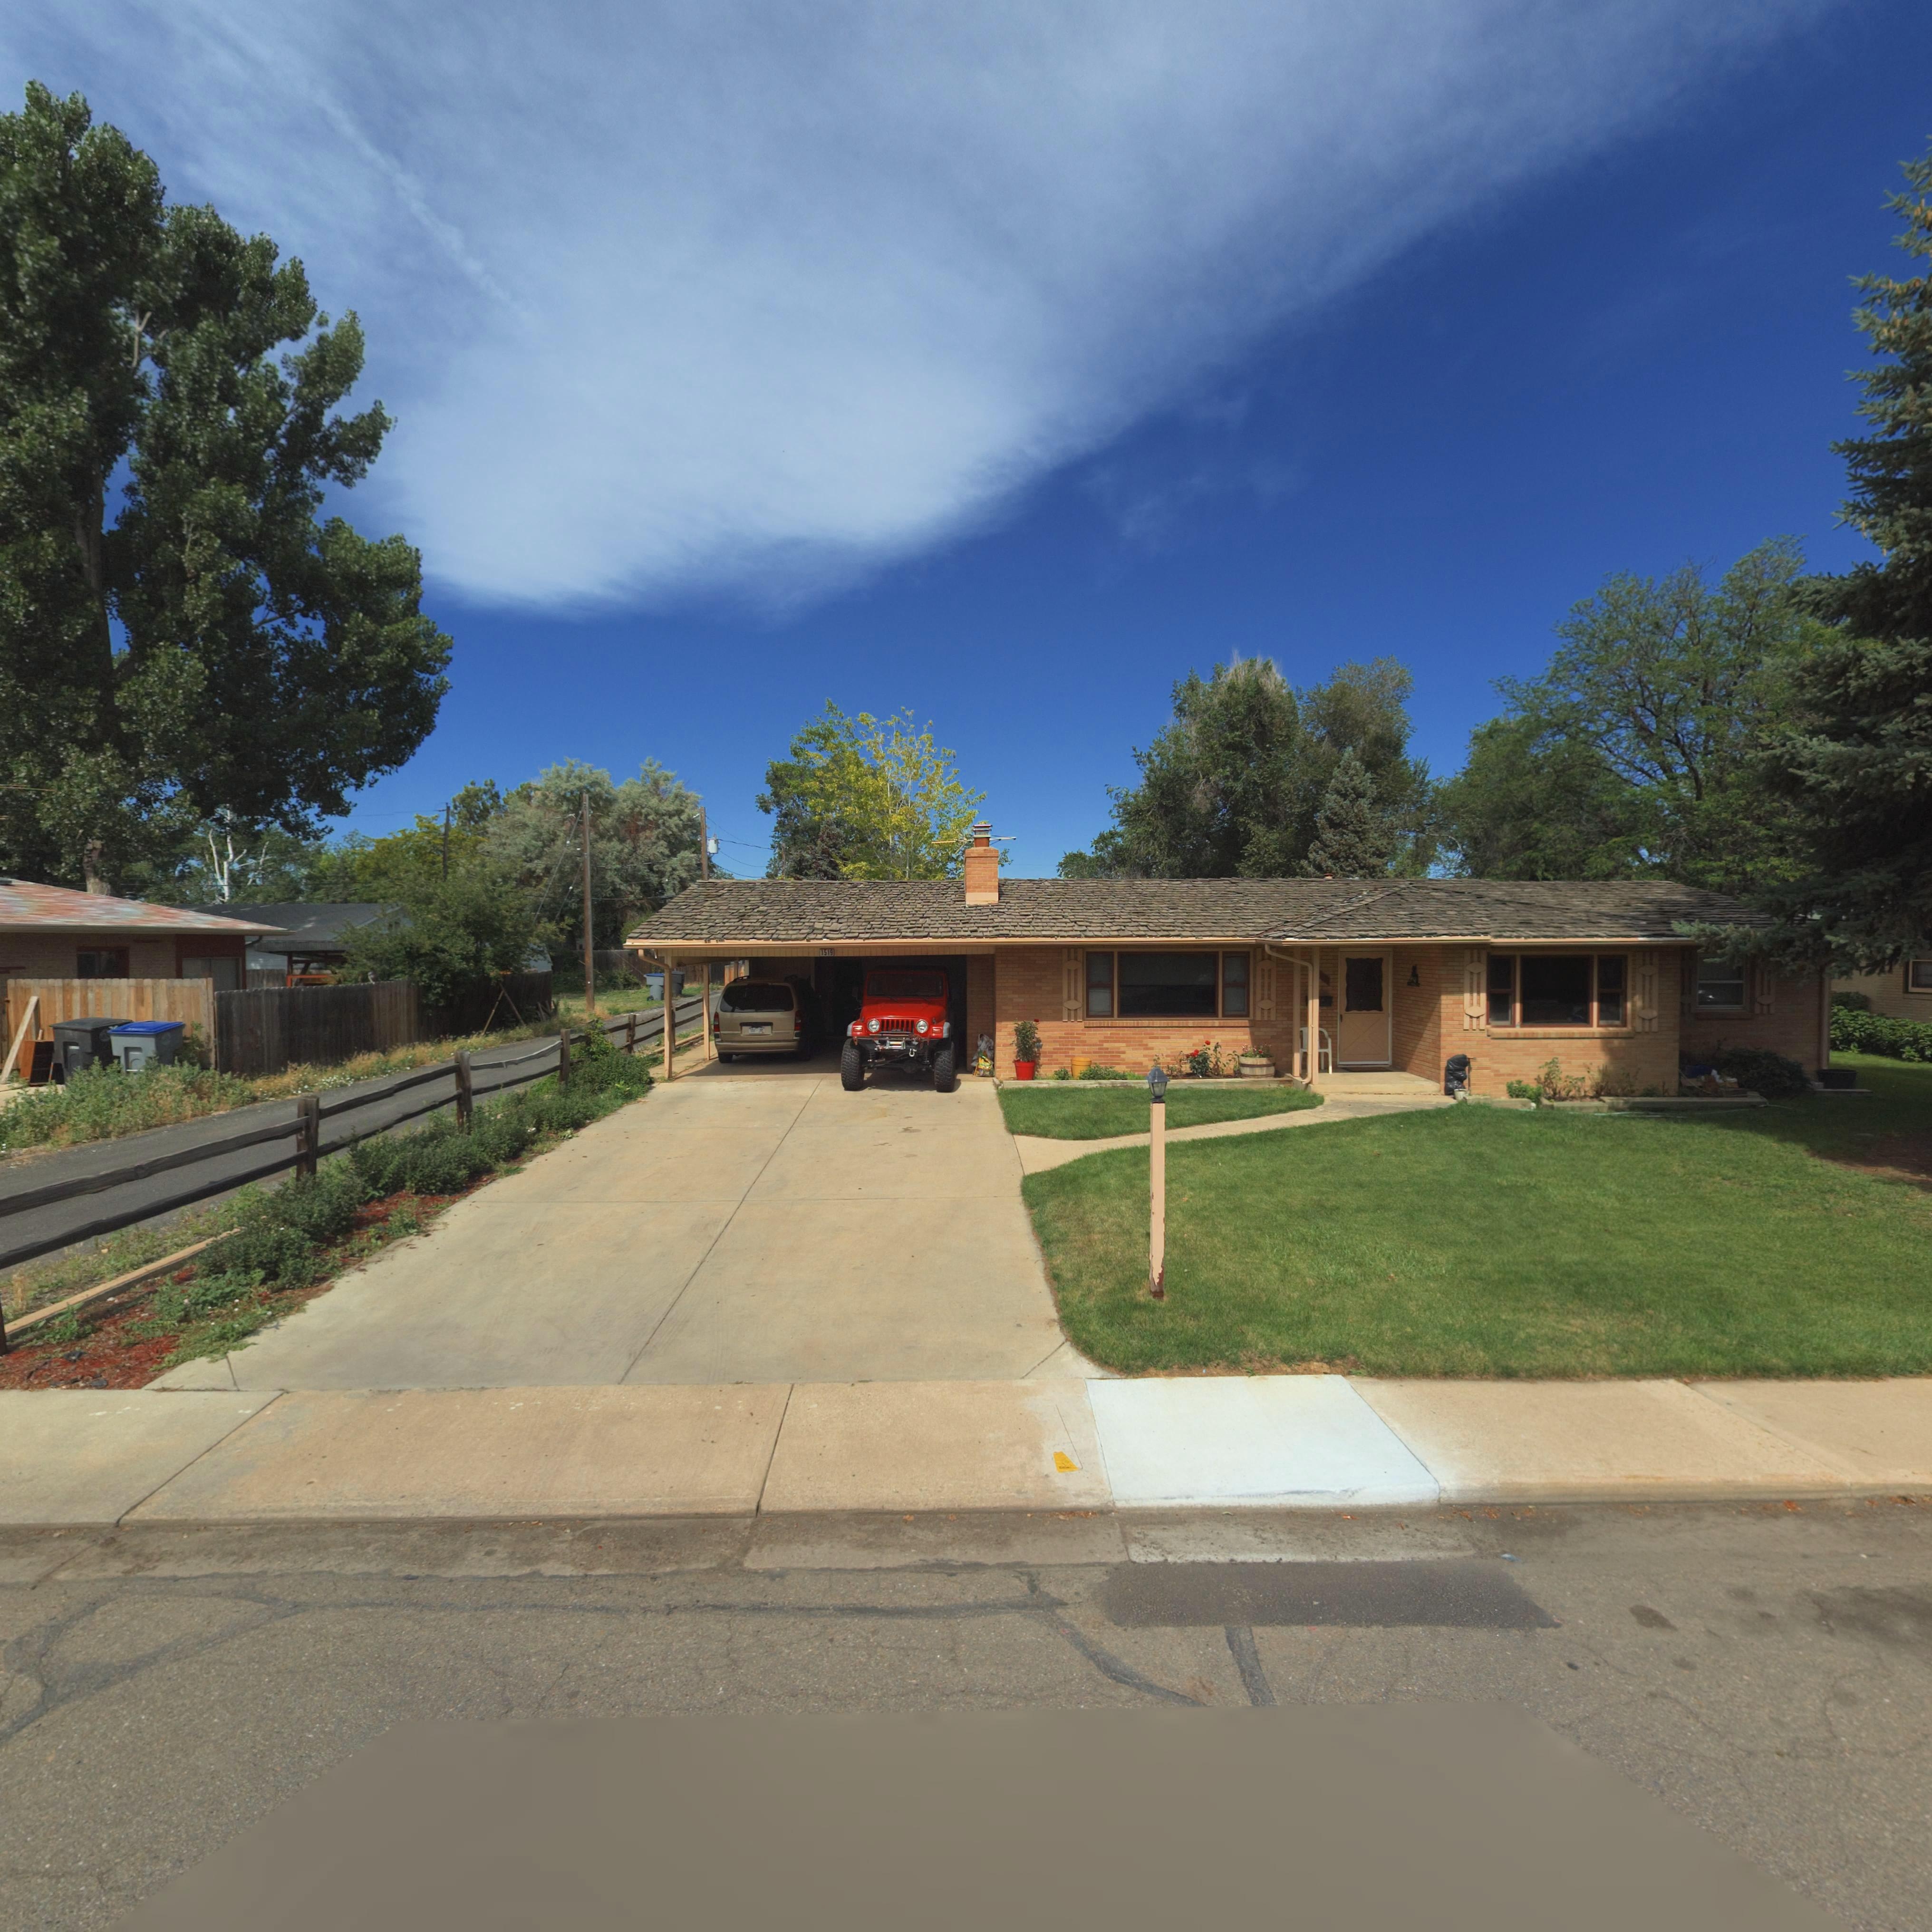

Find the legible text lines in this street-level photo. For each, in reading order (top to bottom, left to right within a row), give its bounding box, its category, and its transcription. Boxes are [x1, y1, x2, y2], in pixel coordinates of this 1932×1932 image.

[821, 949, 833, 956] StreetNumber: 1519